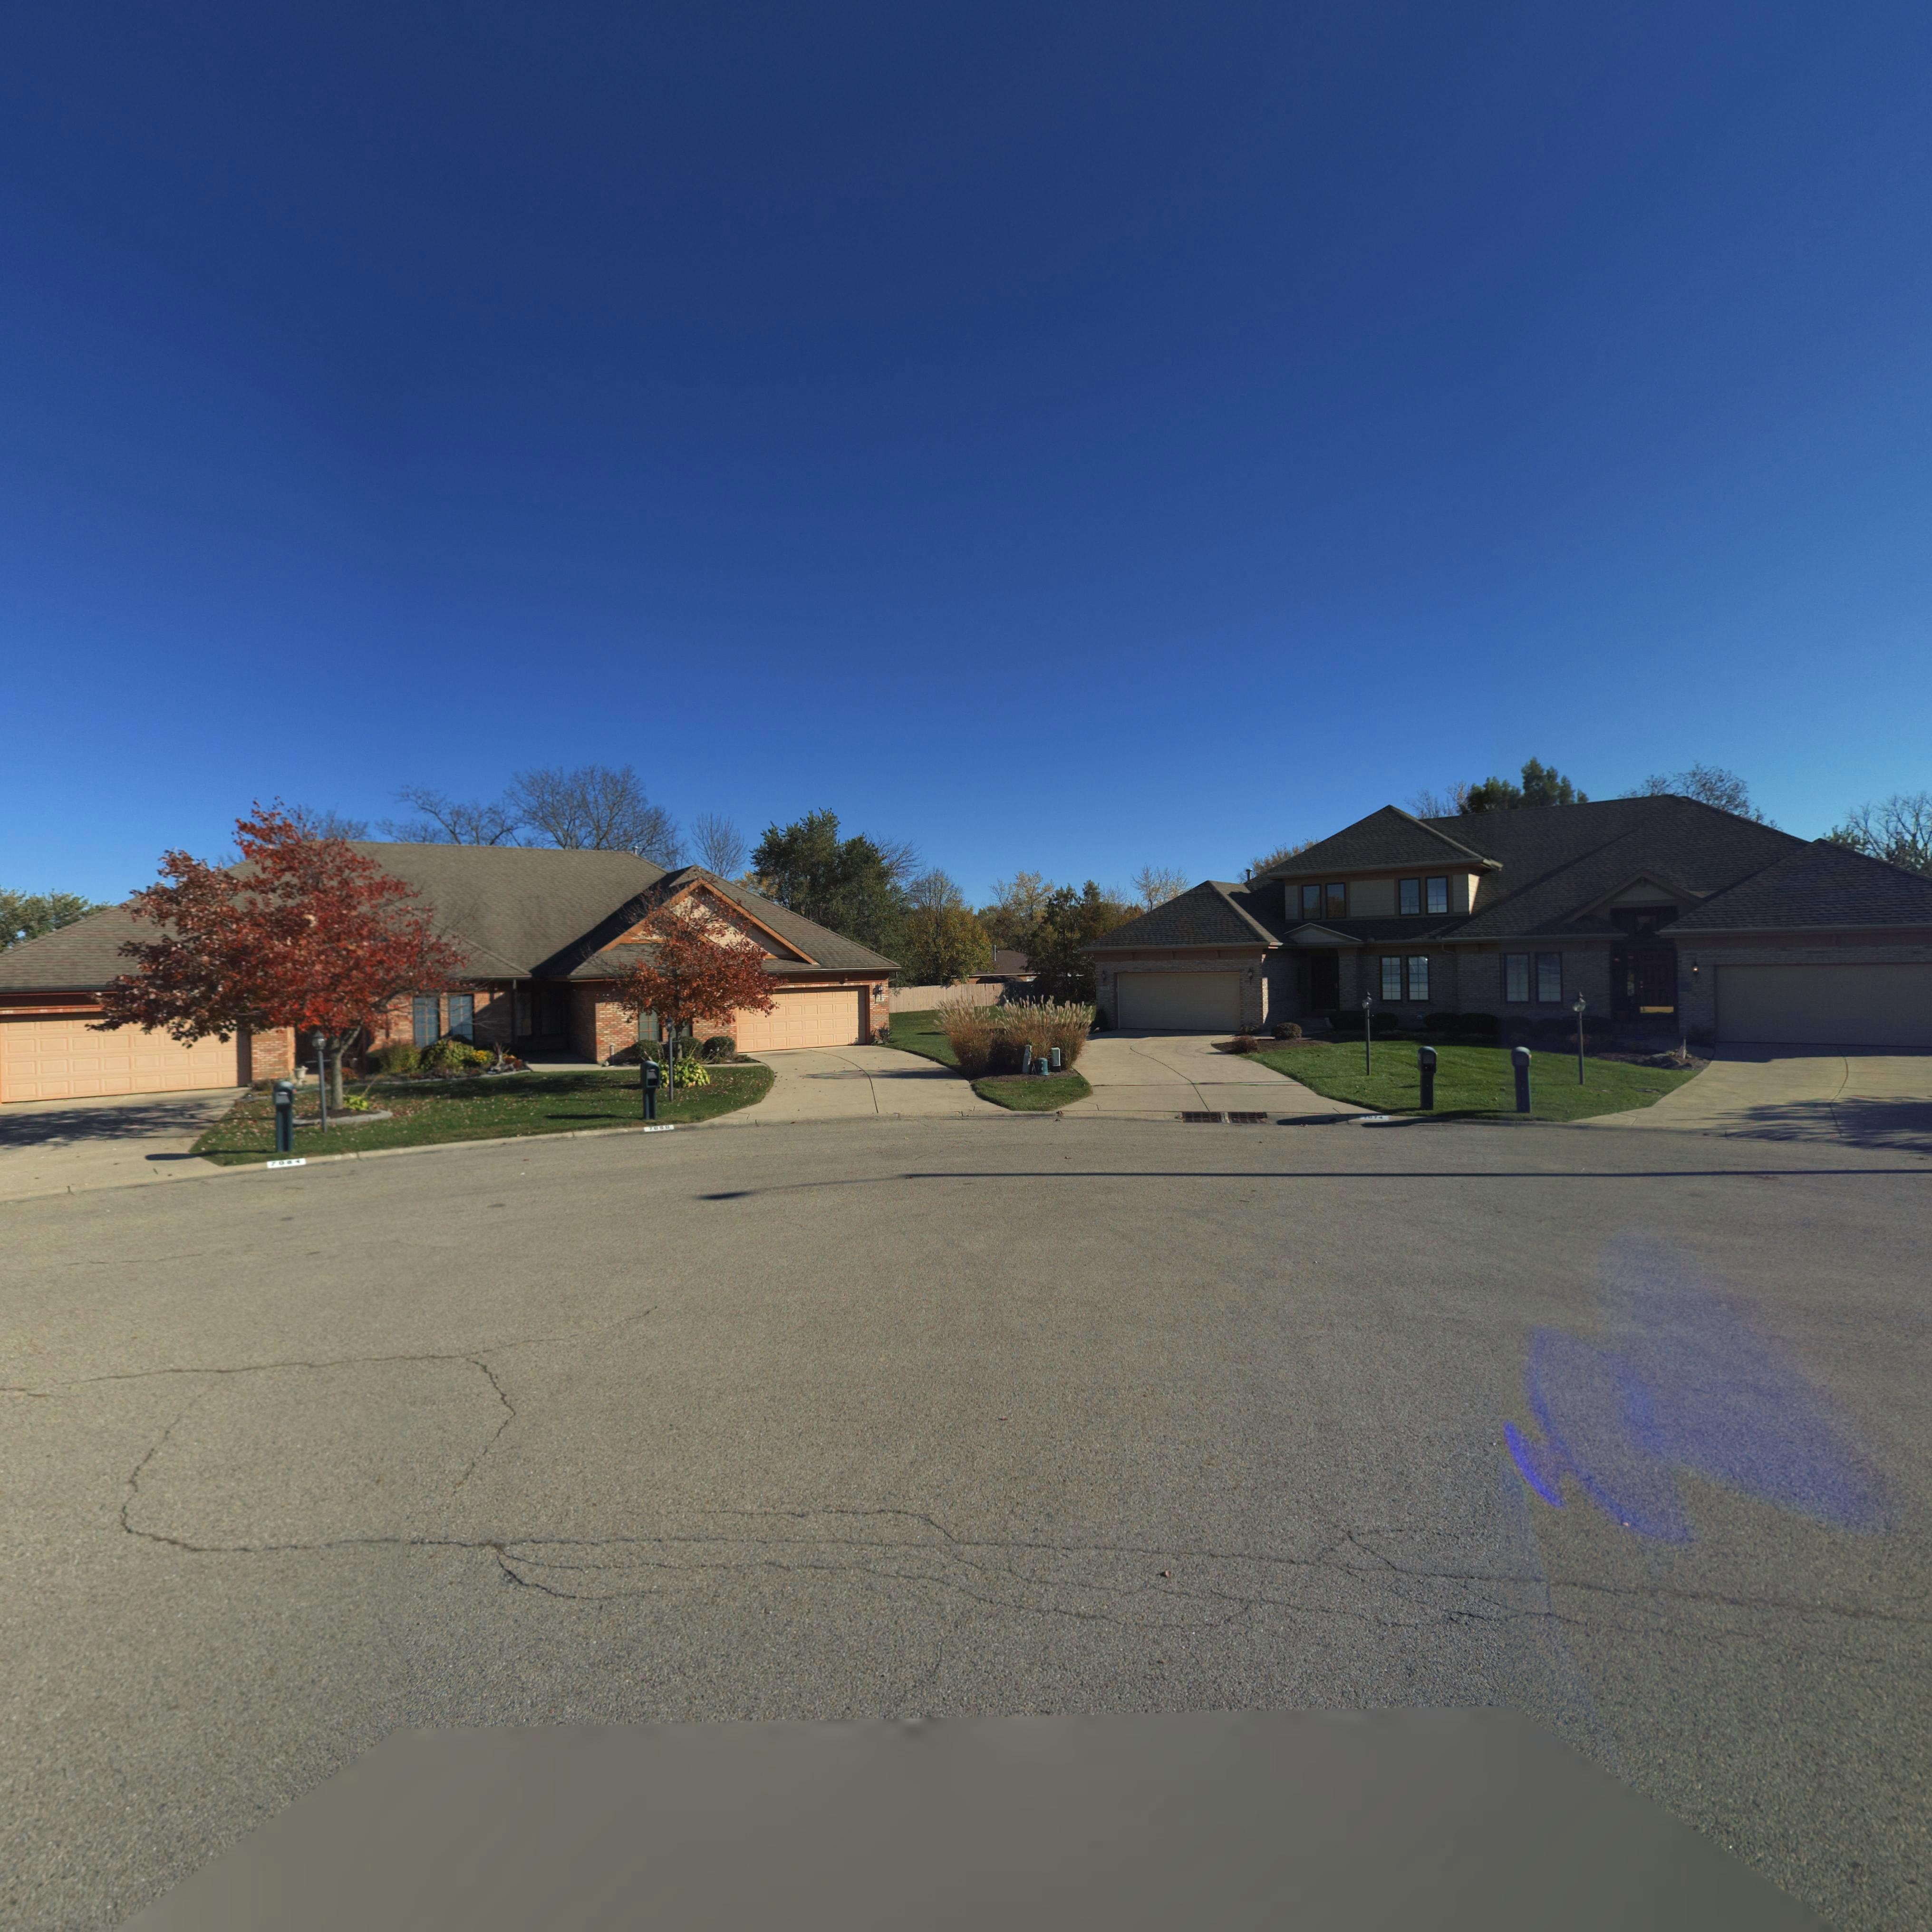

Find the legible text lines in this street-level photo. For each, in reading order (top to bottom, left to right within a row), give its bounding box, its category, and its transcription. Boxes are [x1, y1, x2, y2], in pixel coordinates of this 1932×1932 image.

[1362, 1115, 1383, 1119] StreetNumber: 7074
[647, 1124, 670, 1131] StreetNumber: 7080
[270, 1157, 300, 1167] StreetNumber: 70*4